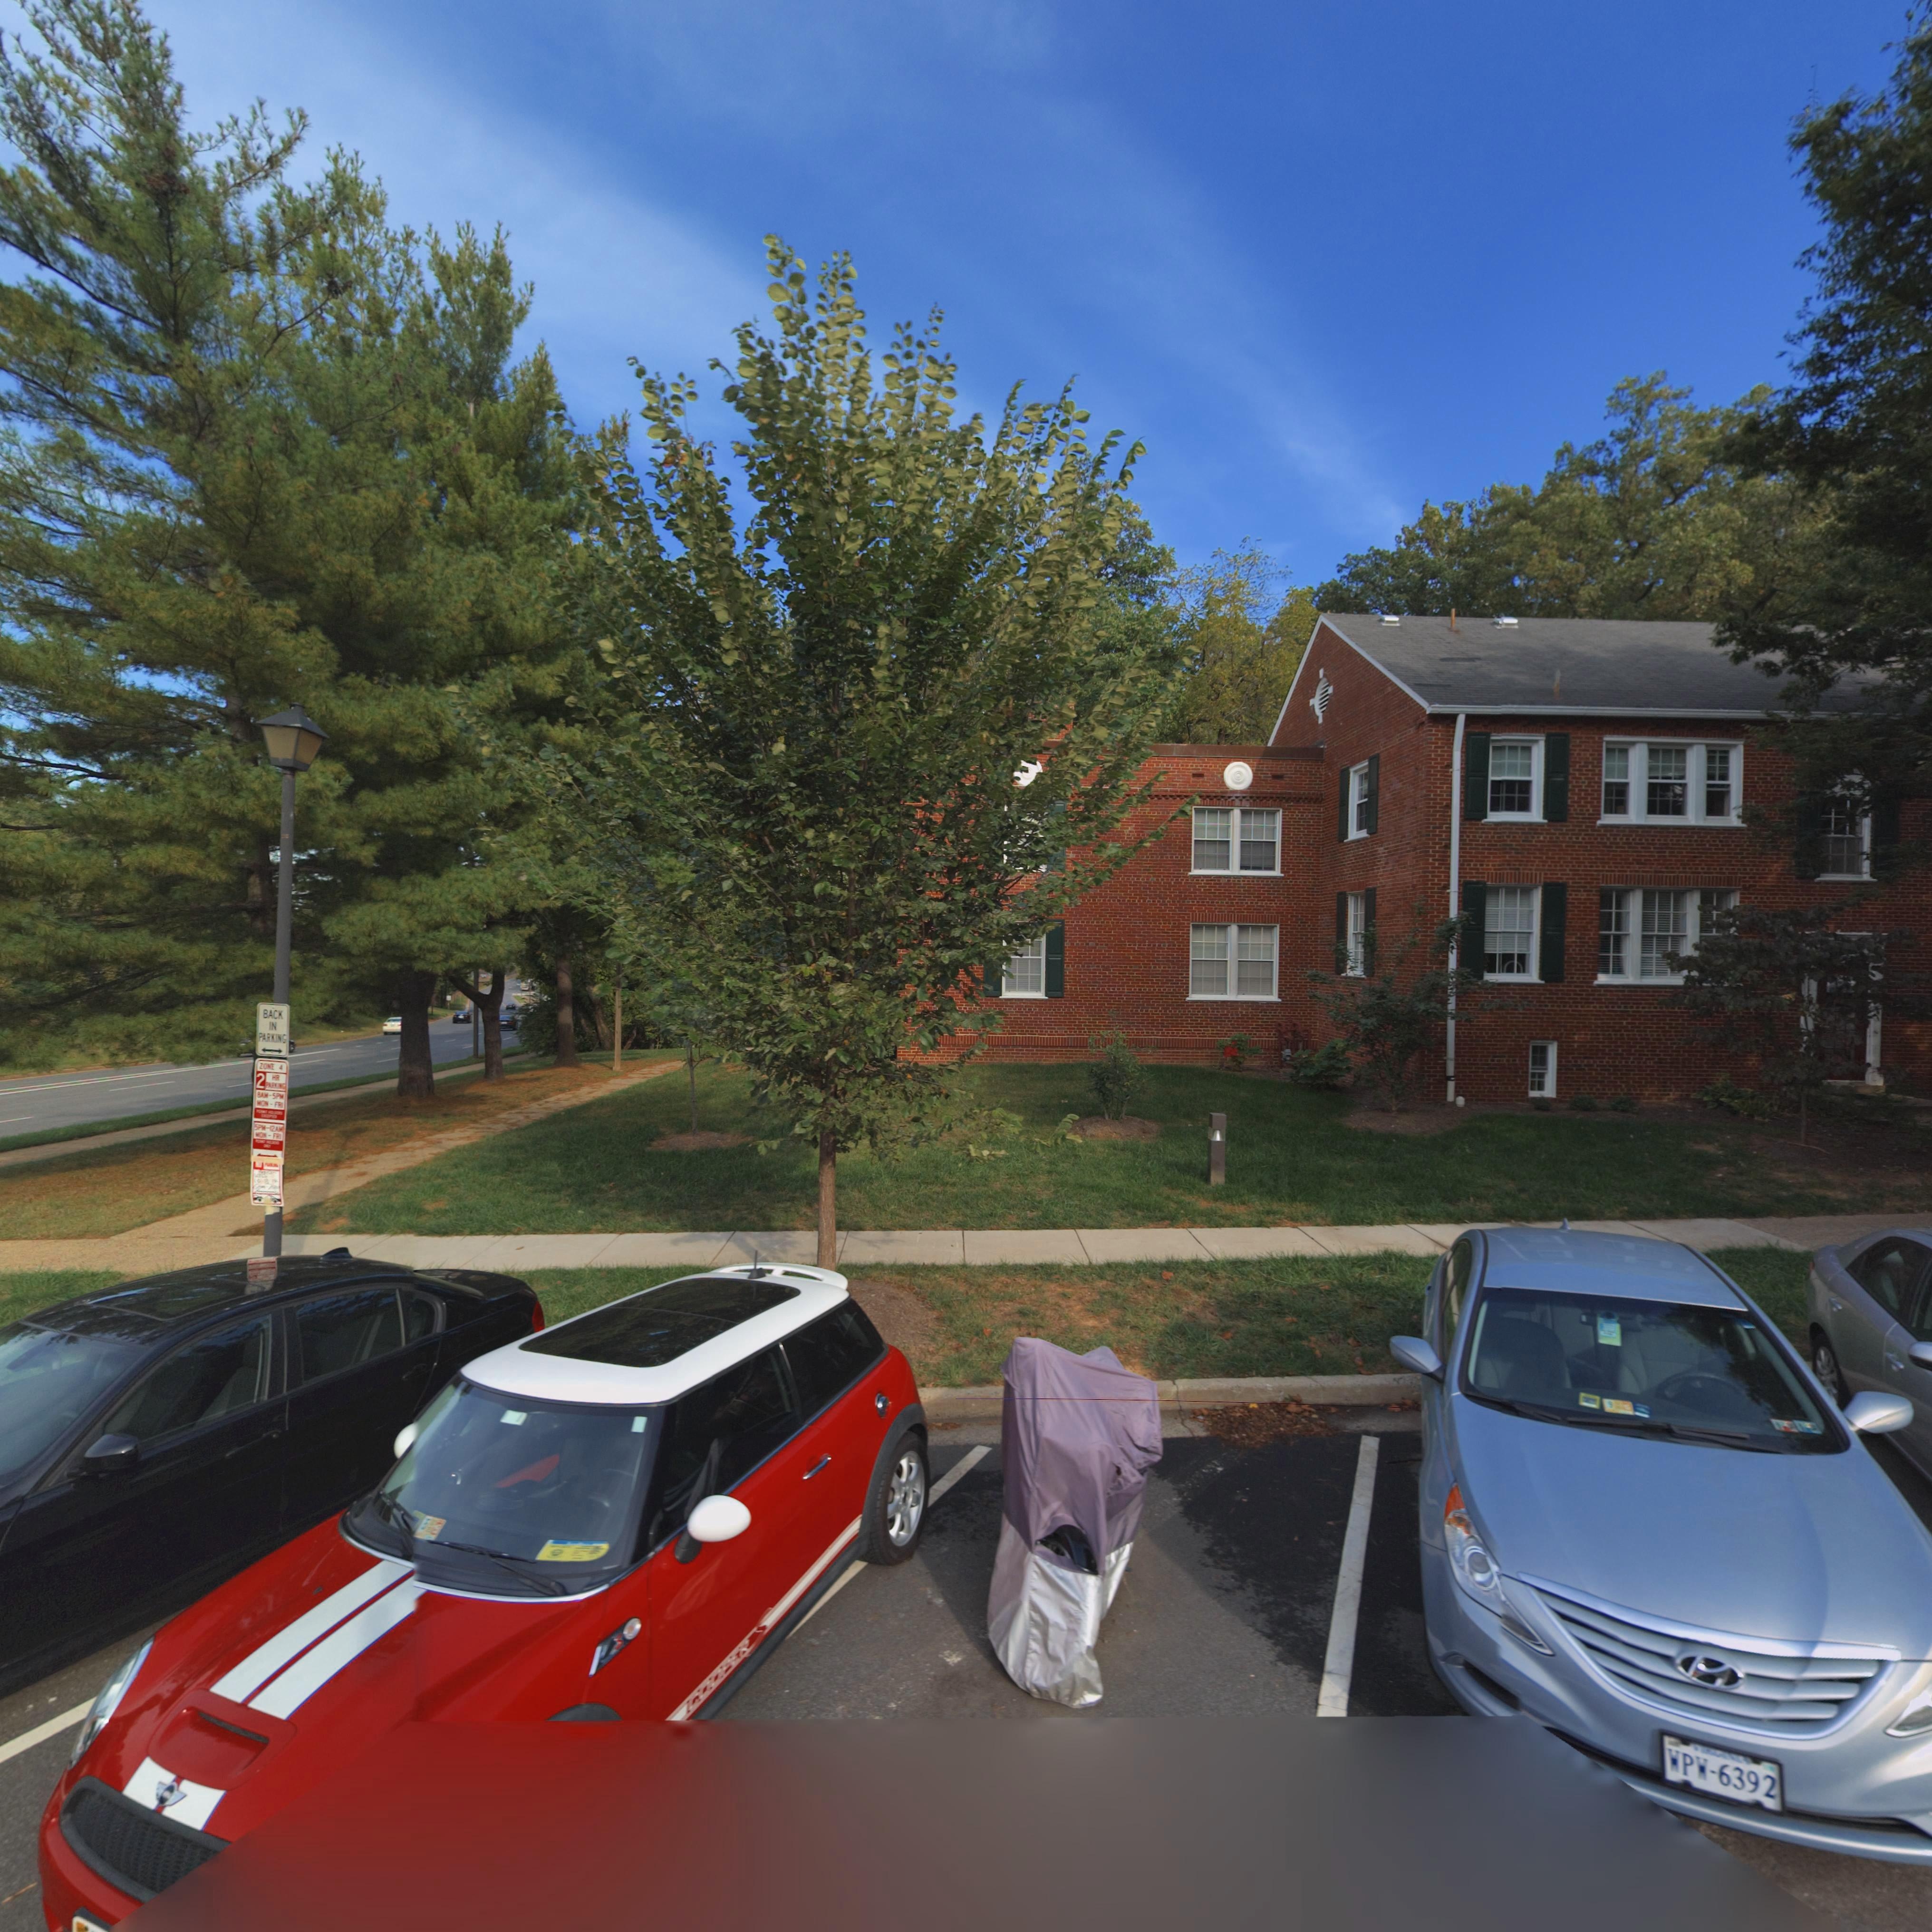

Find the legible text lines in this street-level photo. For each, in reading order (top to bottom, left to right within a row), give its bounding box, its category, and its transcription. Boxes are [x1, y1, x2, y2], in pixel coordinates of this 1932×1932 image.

[262, 1007, 284, 1021] None: BACK
[268, 1021, 278, 1032] None: IN
[258, 1031, 288, 1044] None: PARKING
[258, 1062, 284, 1072] None: ZO*E 4
[255, 1072, 266, 1090] None: 2
[272, 1074, 280, 1082] None: HR
[266, 1082, 287, 1090] None: A****G
[256, 1091, 285, 1101] None: 8AM-5PM
[260, 1100, 284, 1110] None: O*-FRI
[253, 1123, 281, 1133] None: 5PM-12A
[259, 1131, 277, 1140] None: O*-F
[1665, 1744, 1782, 1808] None: WPW-6392